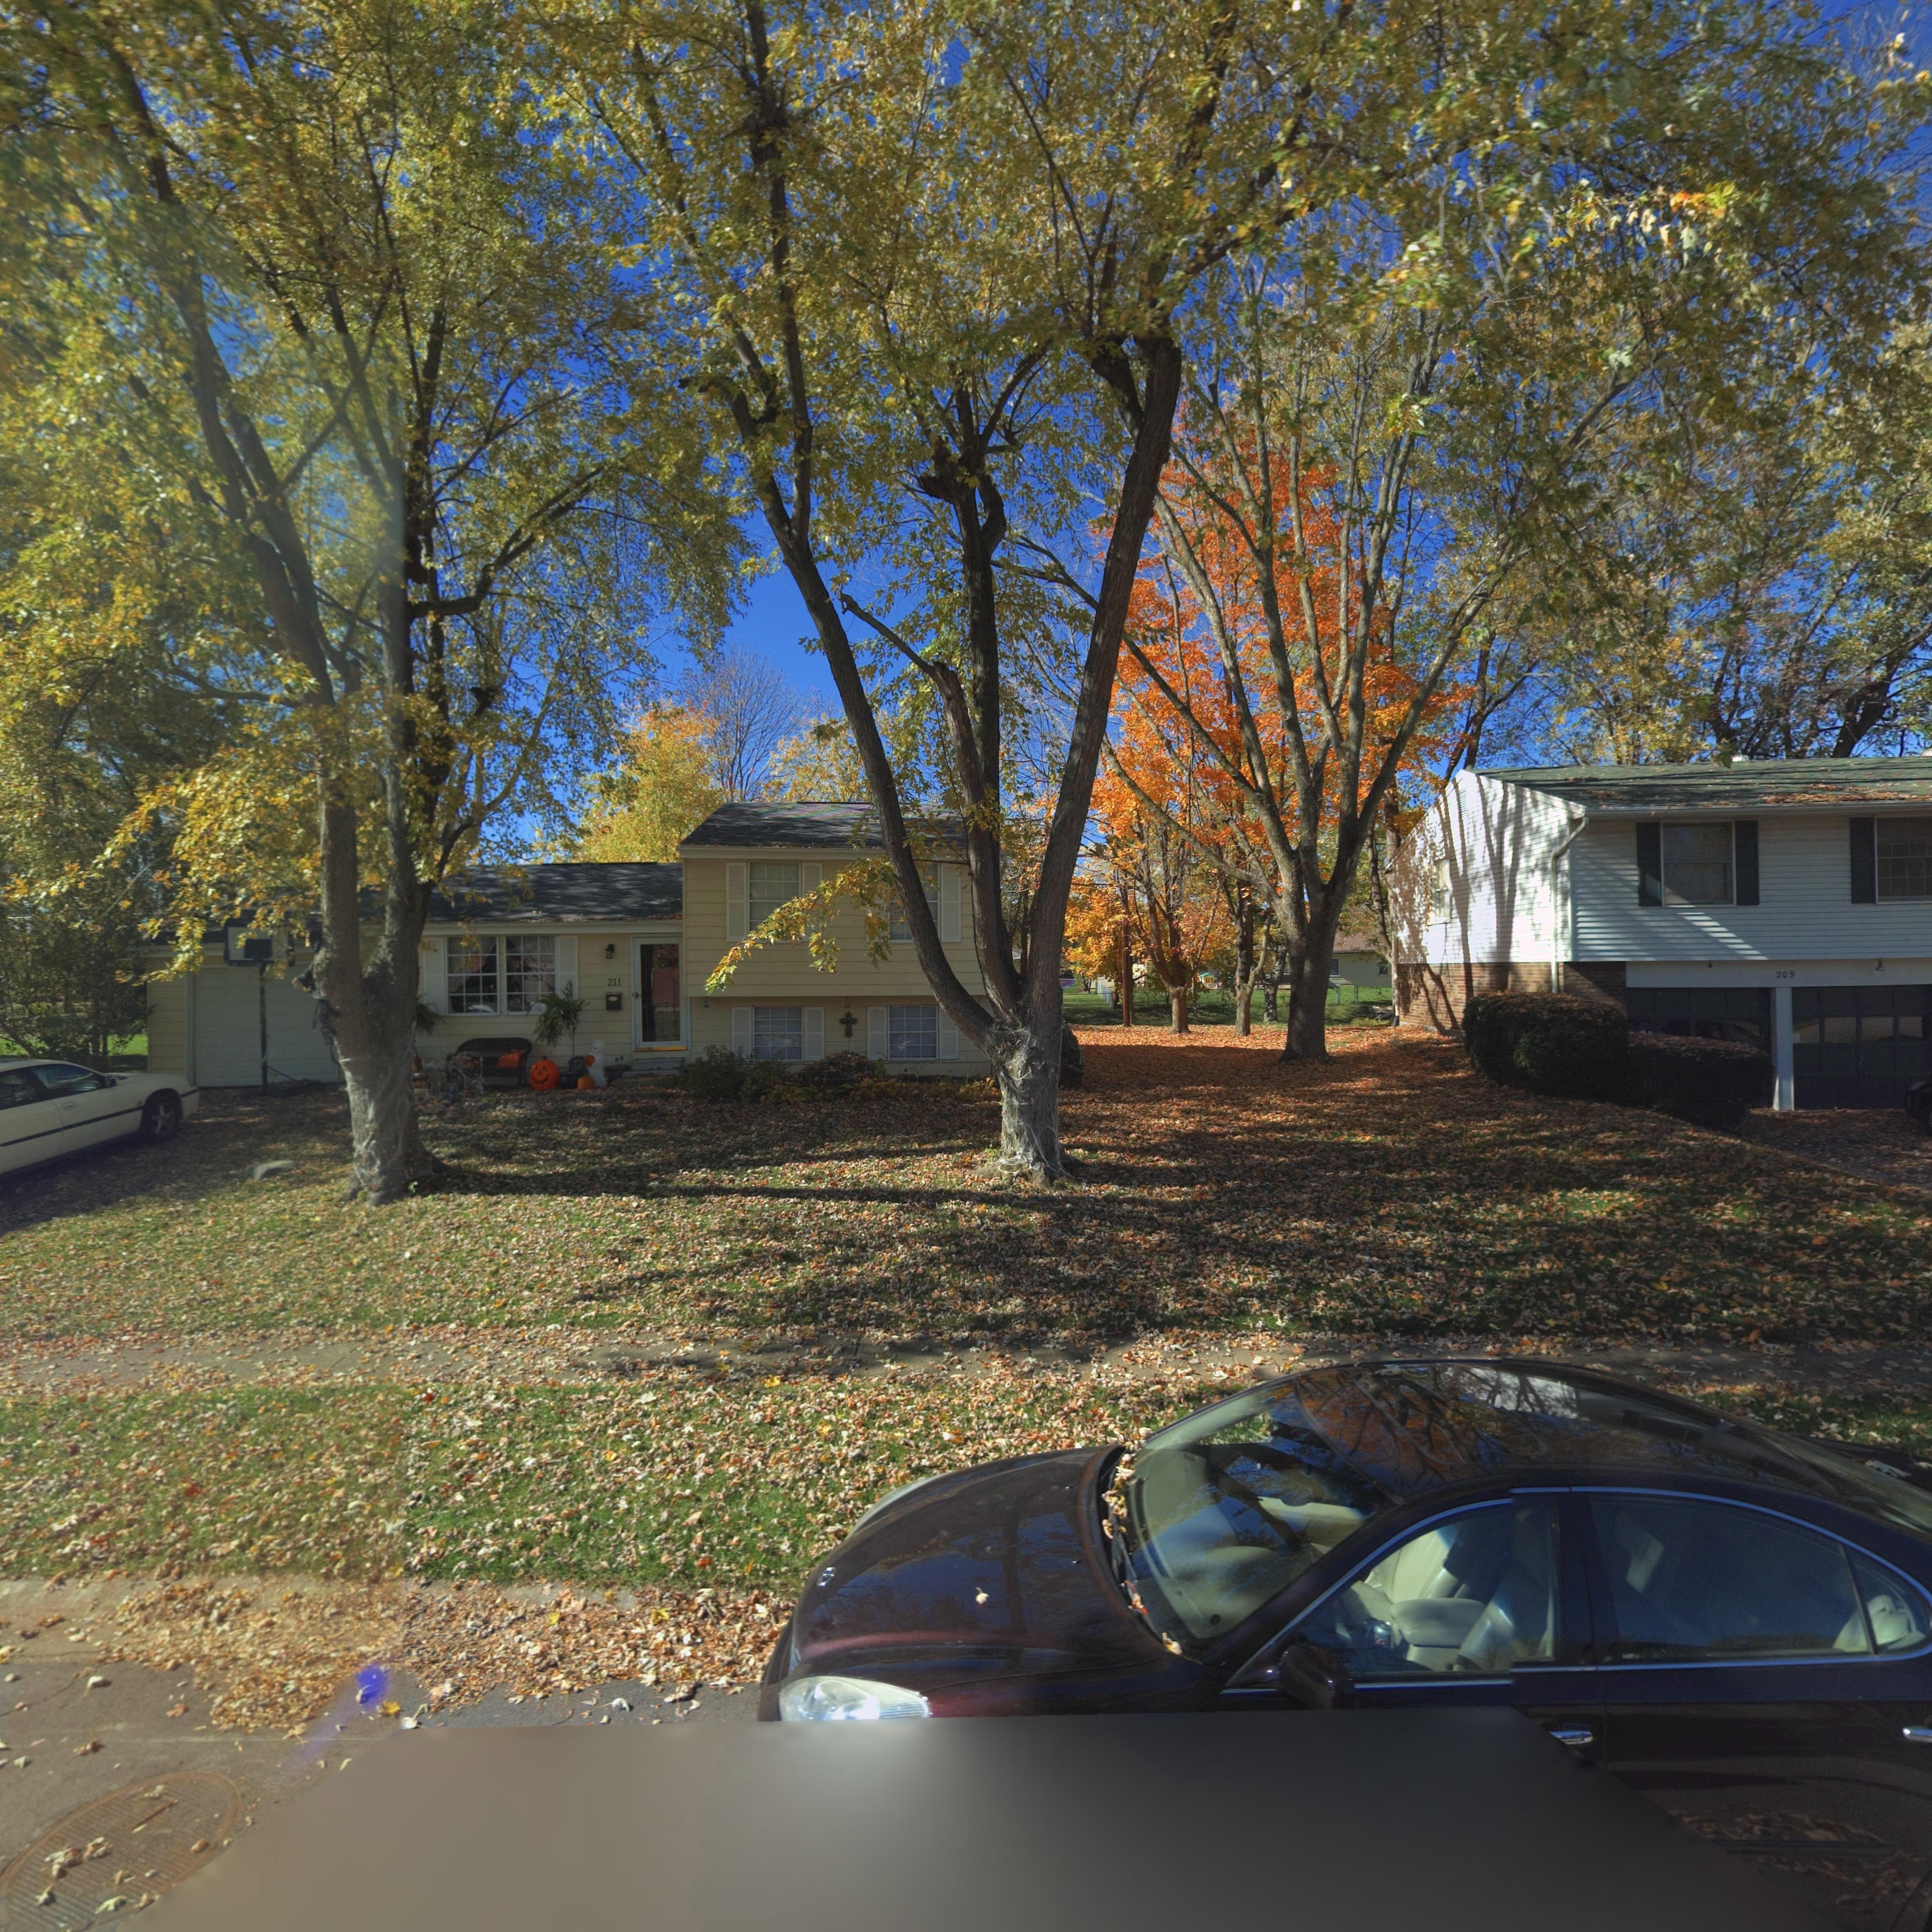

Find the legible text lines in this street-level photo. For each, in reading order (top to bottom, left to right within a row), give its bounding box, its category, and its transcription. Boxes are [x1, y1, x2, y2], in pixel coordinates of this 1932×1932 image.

[1775, 970, 1796, 979] StreetNumber: 209
[606, 977, 622, 987] StreetNumber: 211